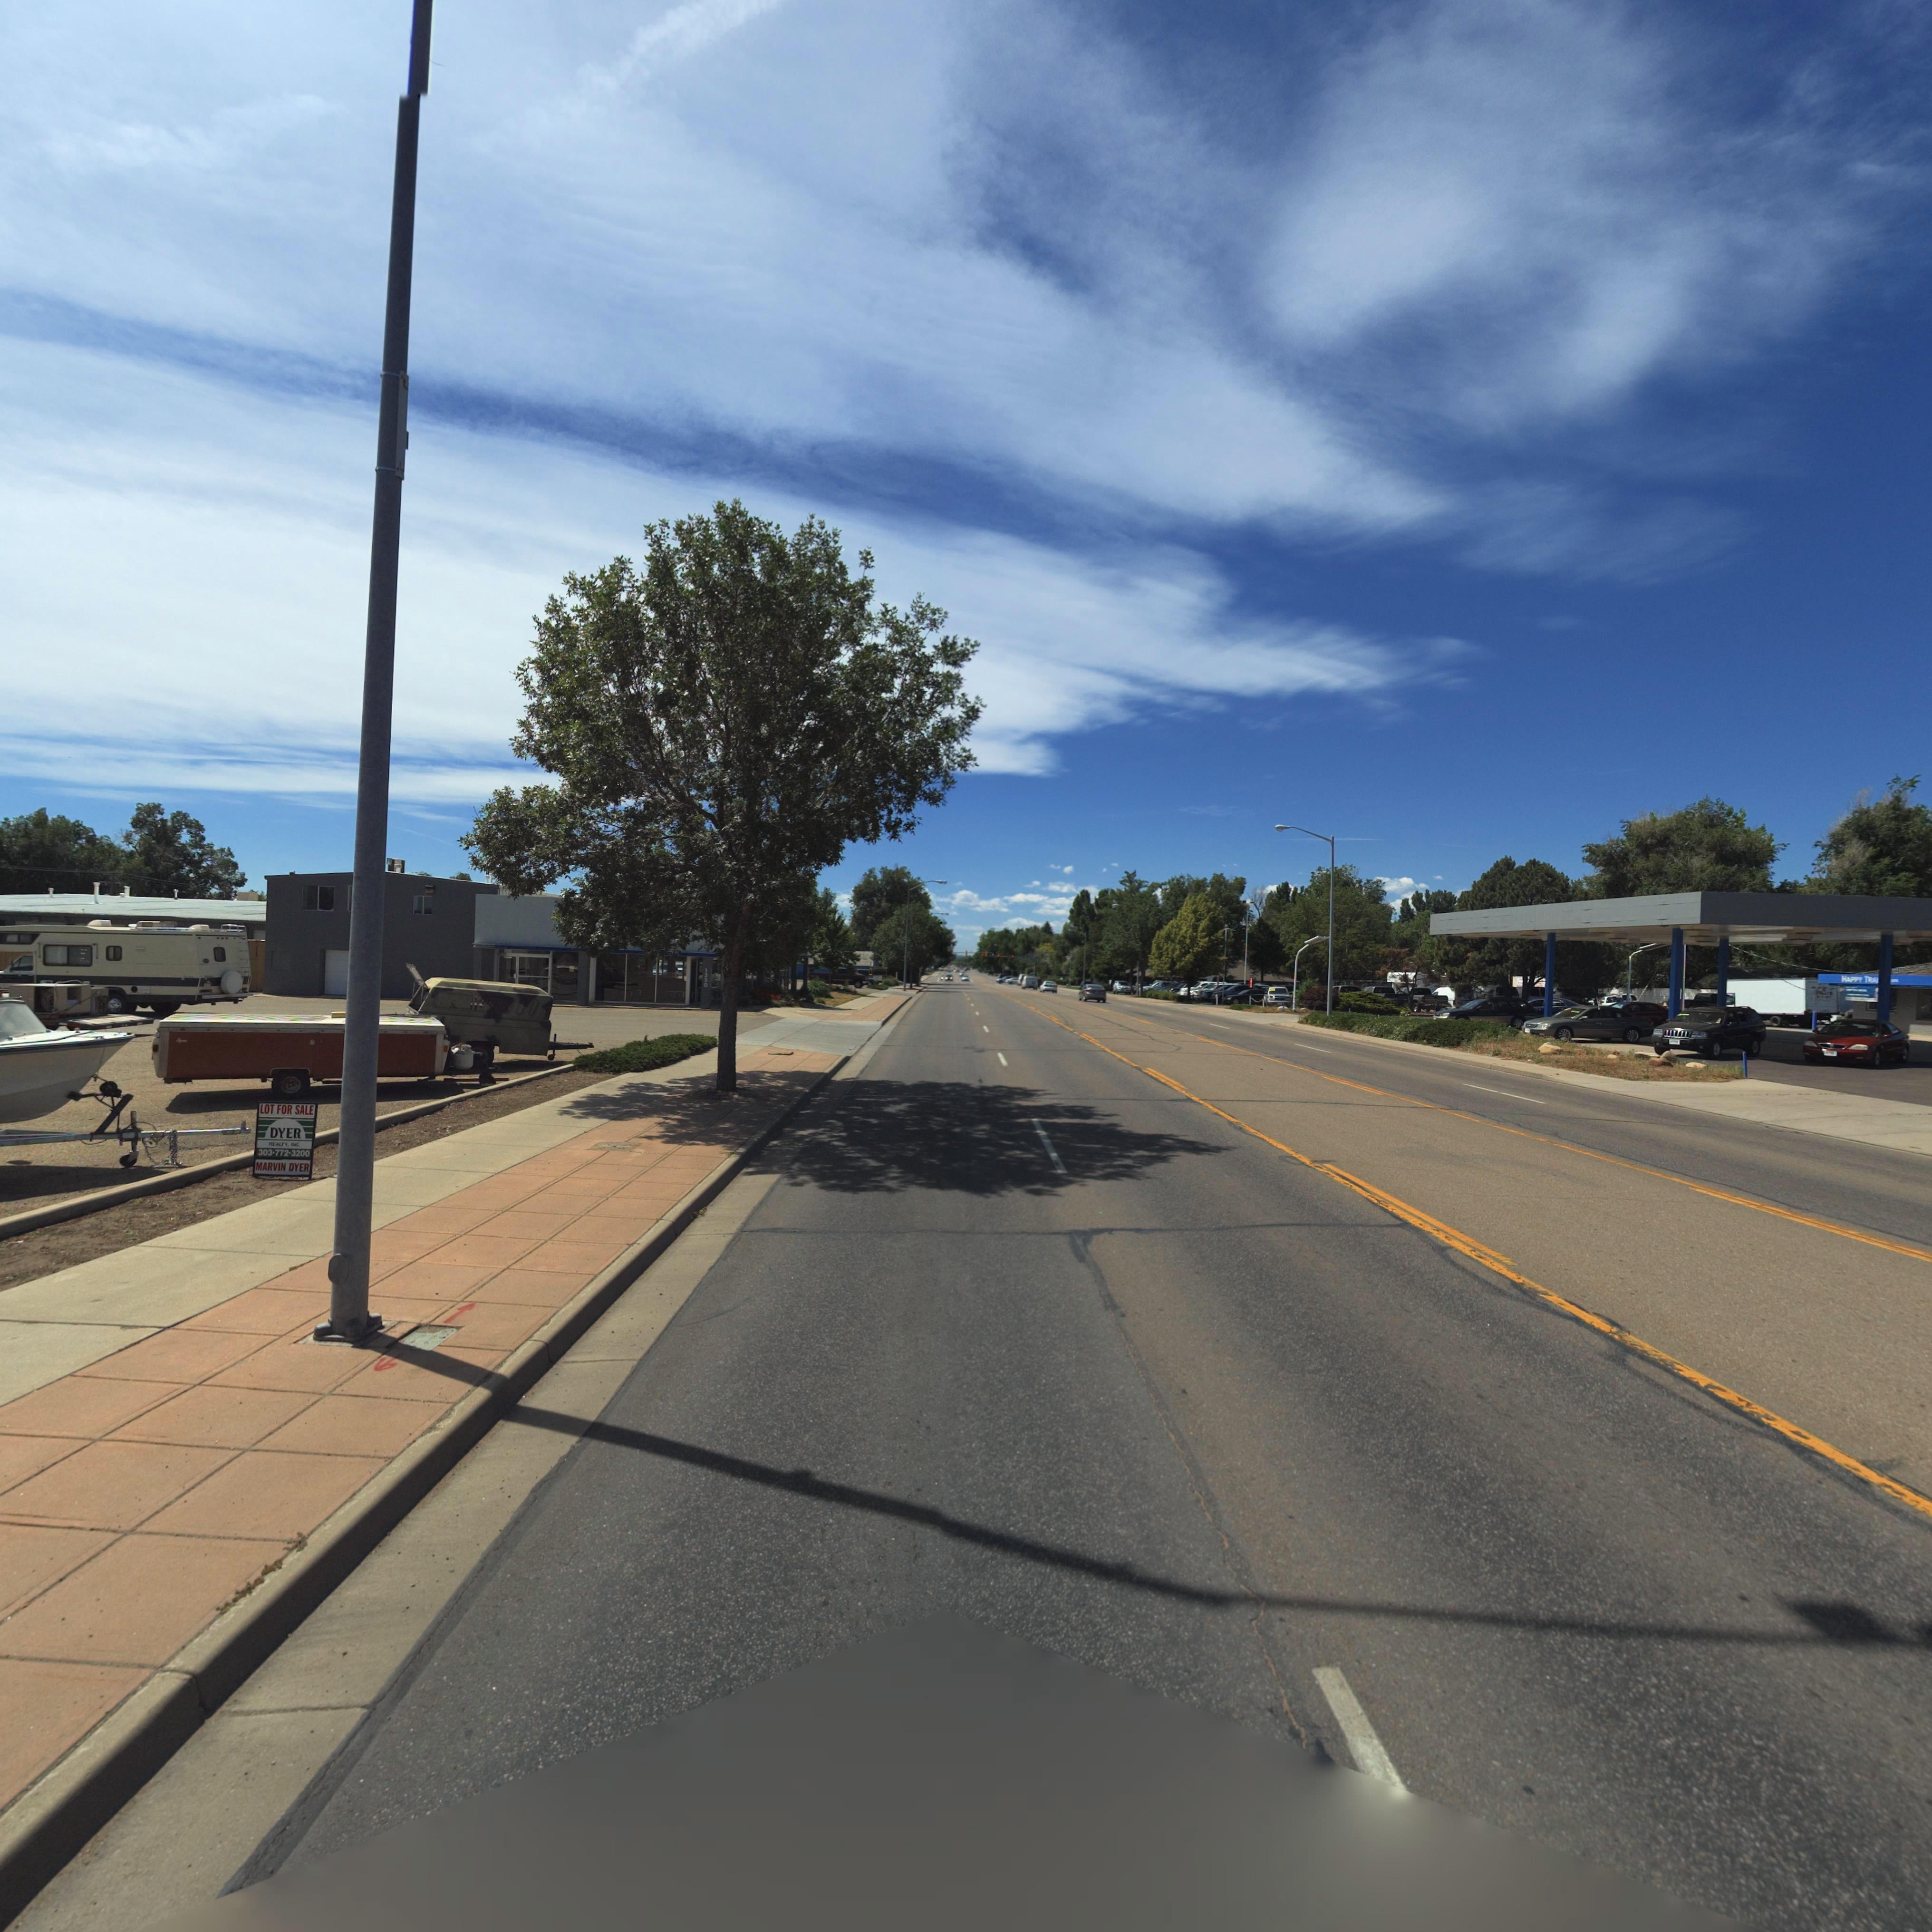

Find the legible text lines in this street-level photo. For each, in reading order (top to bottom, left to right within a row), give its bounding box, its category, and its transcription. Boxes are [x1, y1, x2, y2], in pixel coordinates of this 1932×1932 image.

[703, 967, 708, 987] StreetNumber: 1330
[1841, 975, 1878, 983] BusinessName: HAPPY TRA*